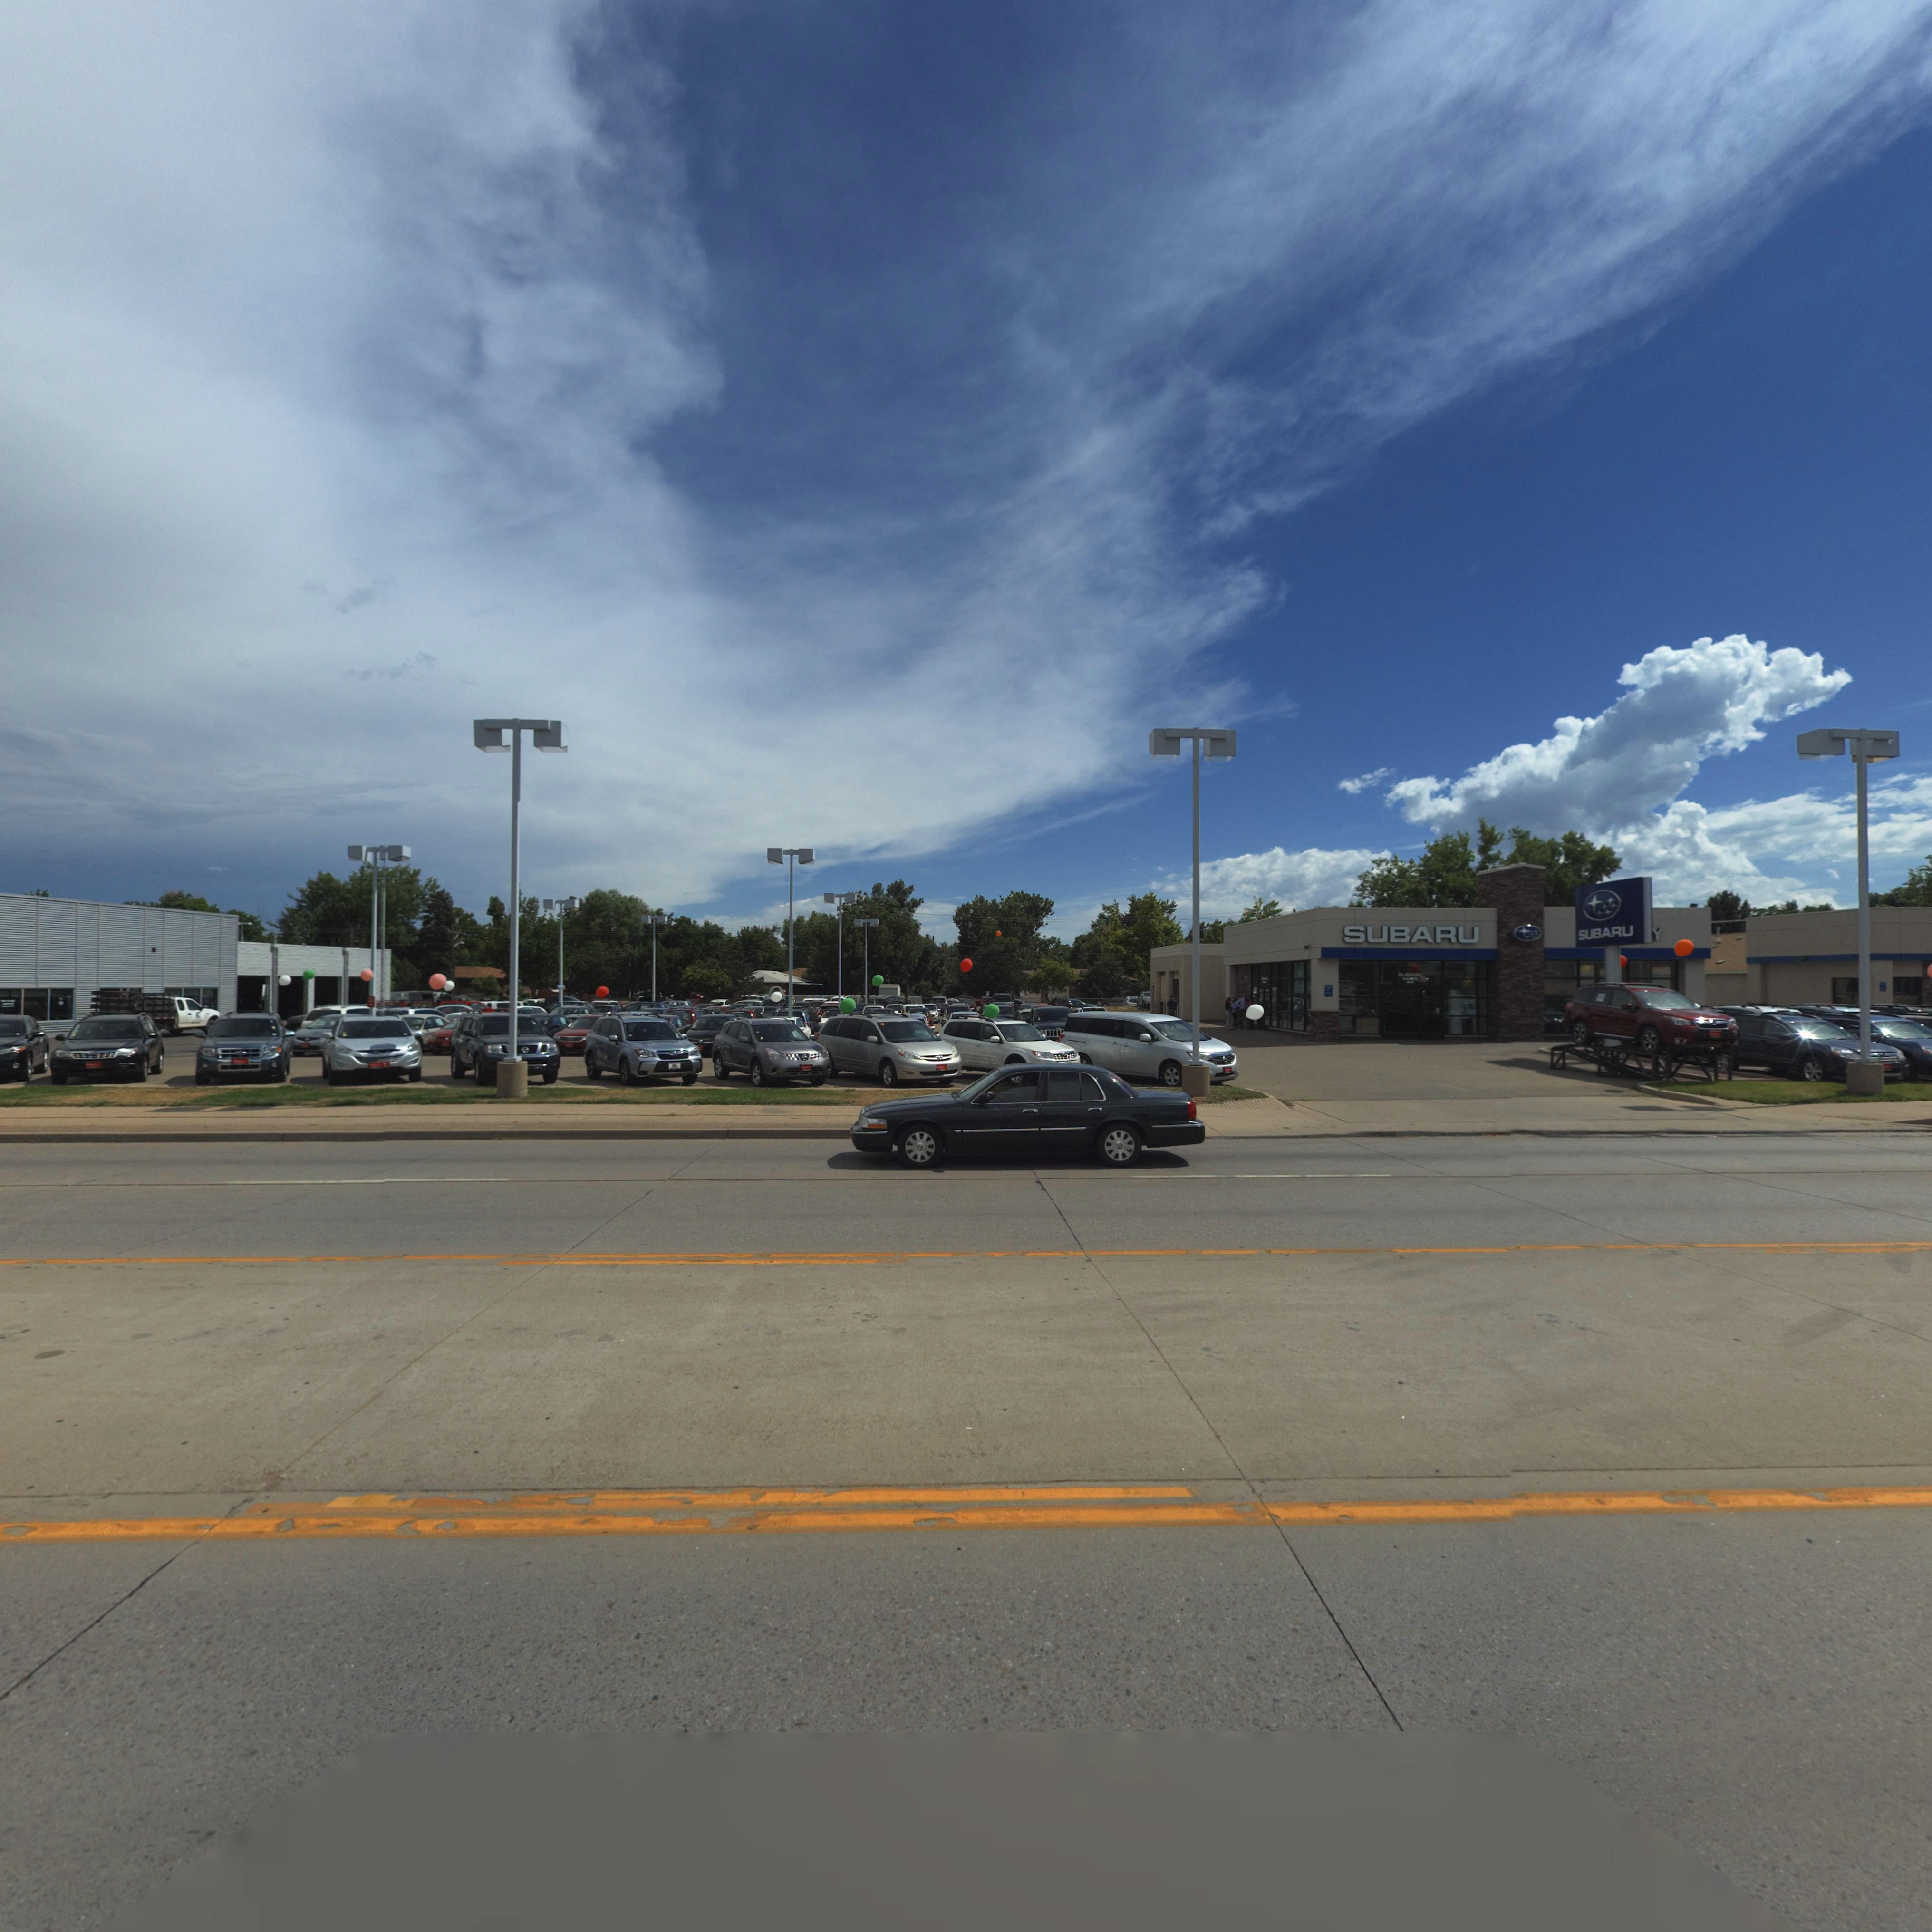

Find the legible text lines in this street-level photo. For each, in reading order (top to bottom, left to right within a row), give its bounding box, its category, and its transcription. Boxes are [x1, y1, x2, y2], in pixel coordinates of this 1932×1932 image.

[1343, 925, 1479, 943] BusinessName: SUBARU
[1578, 924, 1634, 940] BusinessName: SUBARU
[1651, 927, 1662, 941] BusinessName: Y